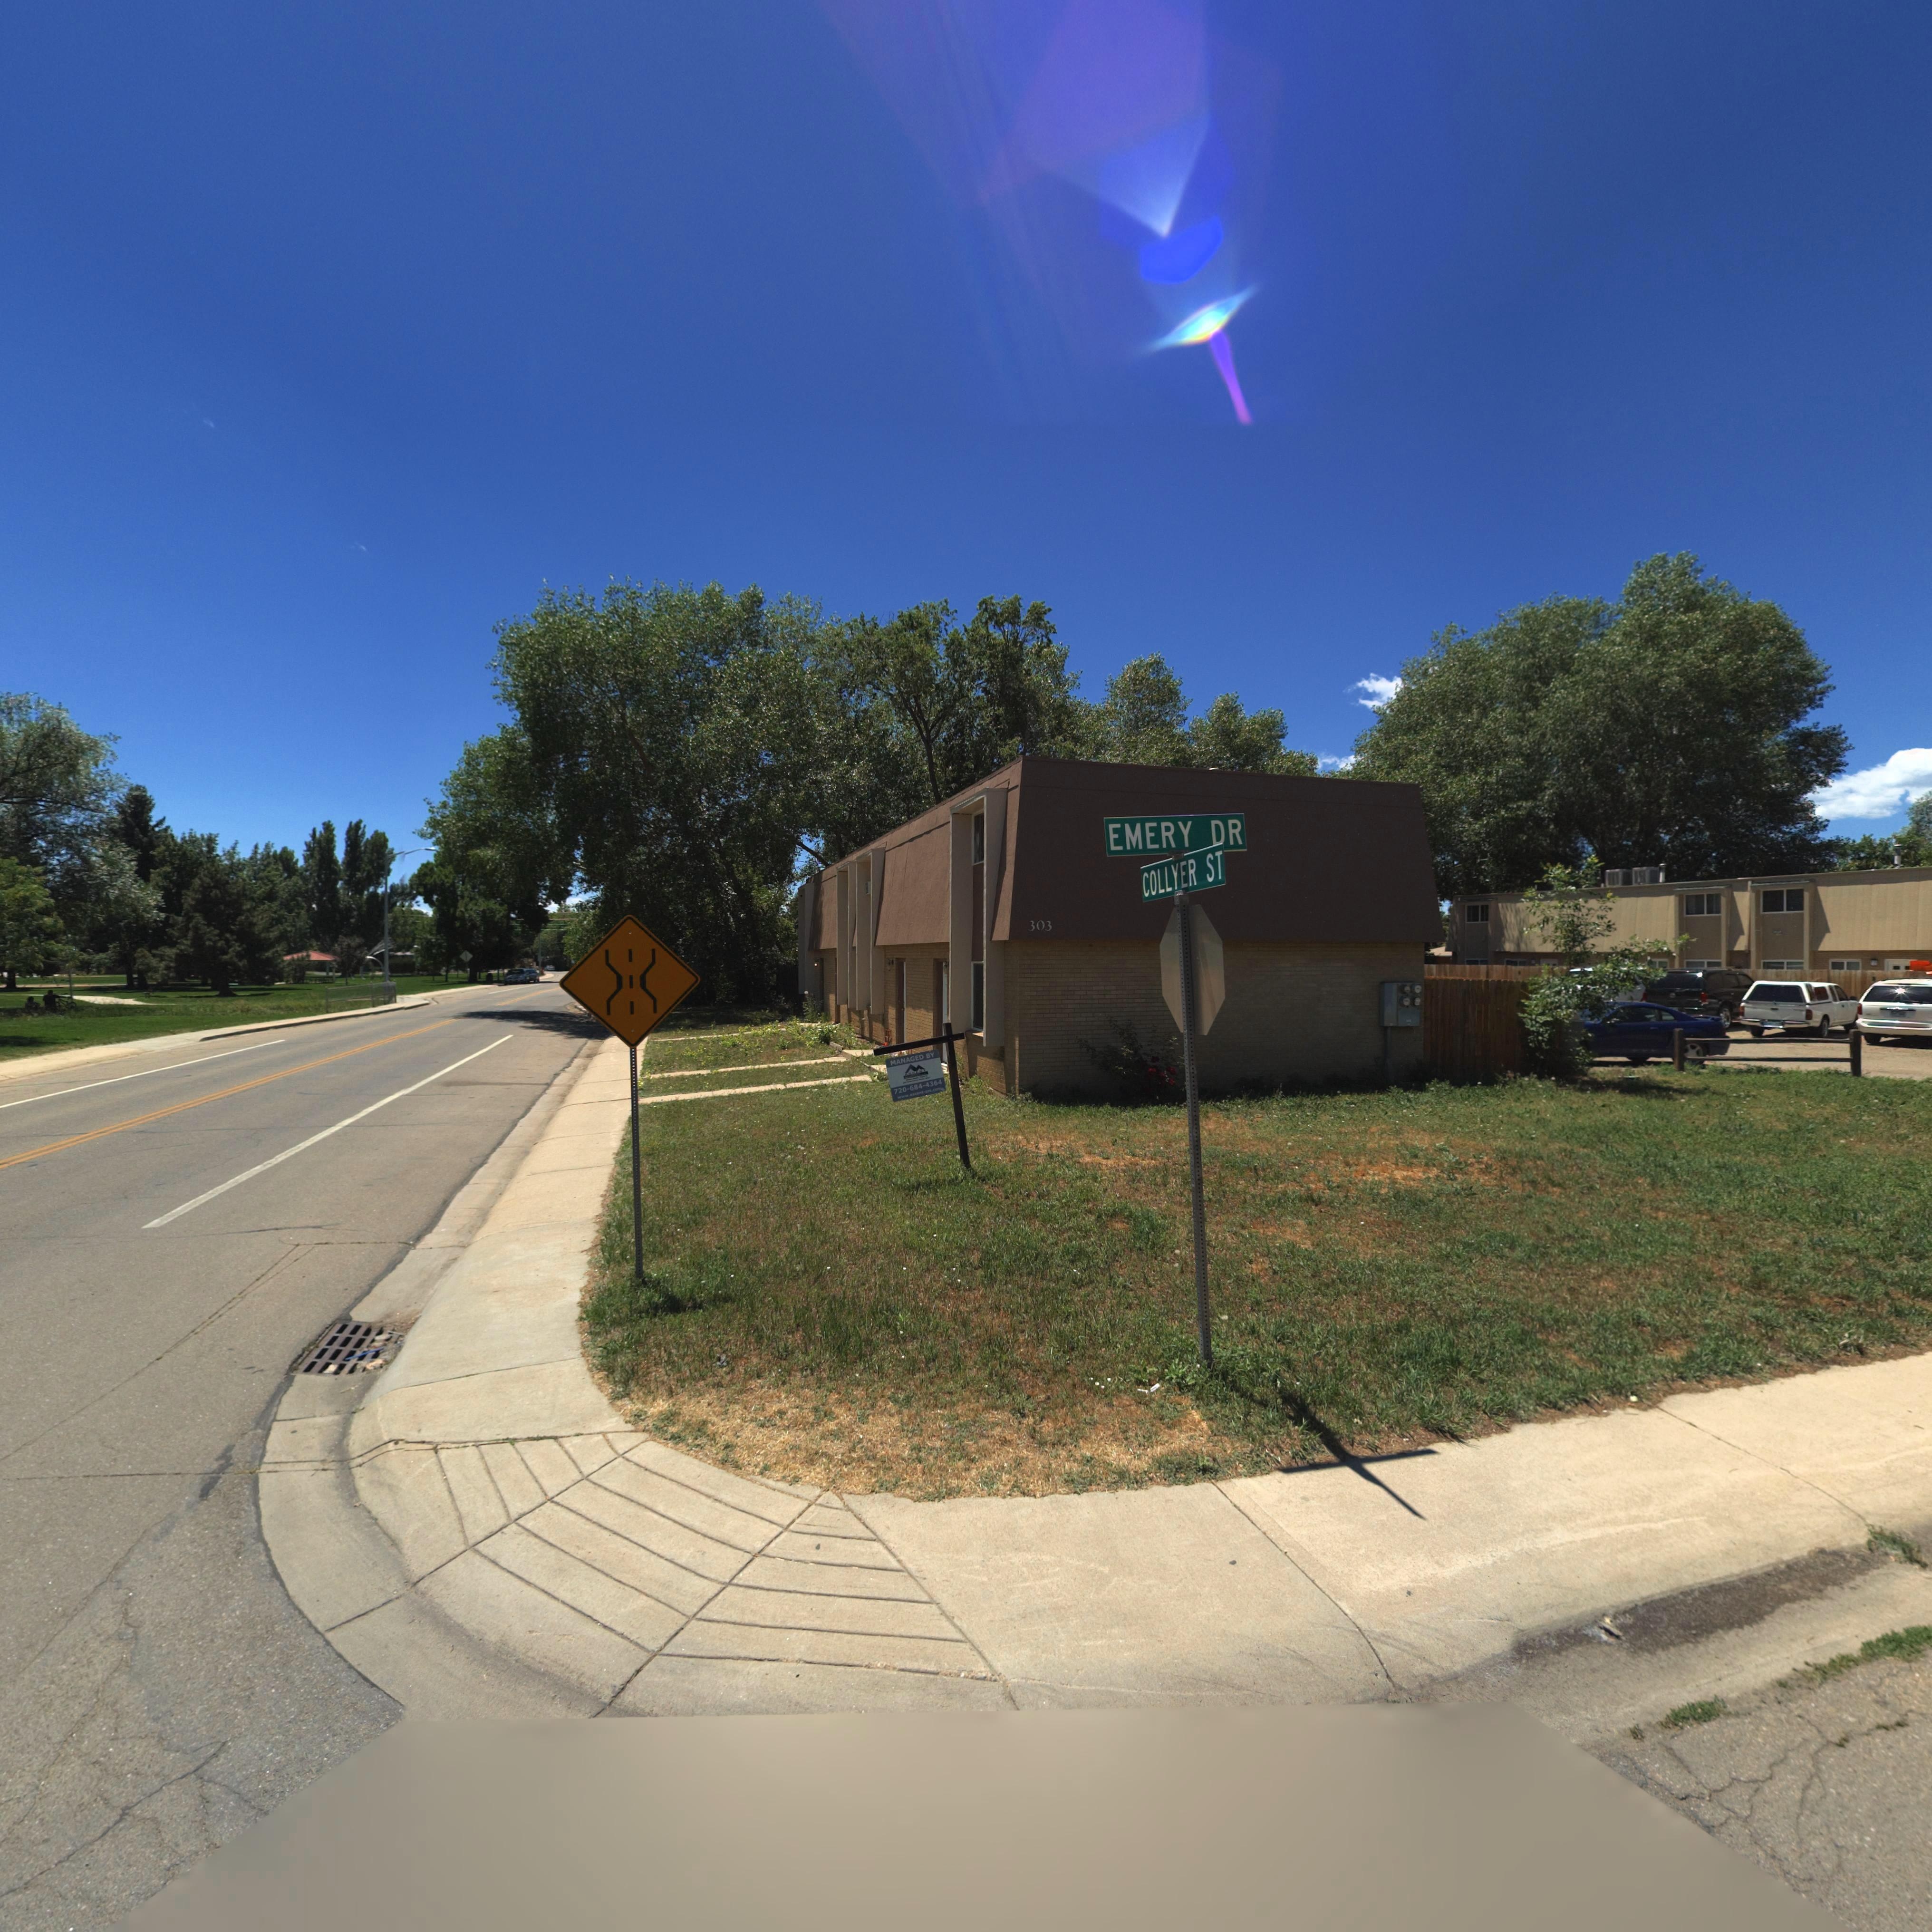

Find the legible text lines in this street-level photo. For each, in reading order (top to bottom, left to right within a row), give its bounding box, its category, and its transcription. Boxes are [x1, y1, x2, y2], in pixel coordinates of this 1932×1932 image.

[1107, 818, 1243, 851] StreetName: EMERY DR
[1142, 850, 1223, 898] StreetName: COLLYER ST
[1027, 919, 1053, 932] StreetNumber: 303